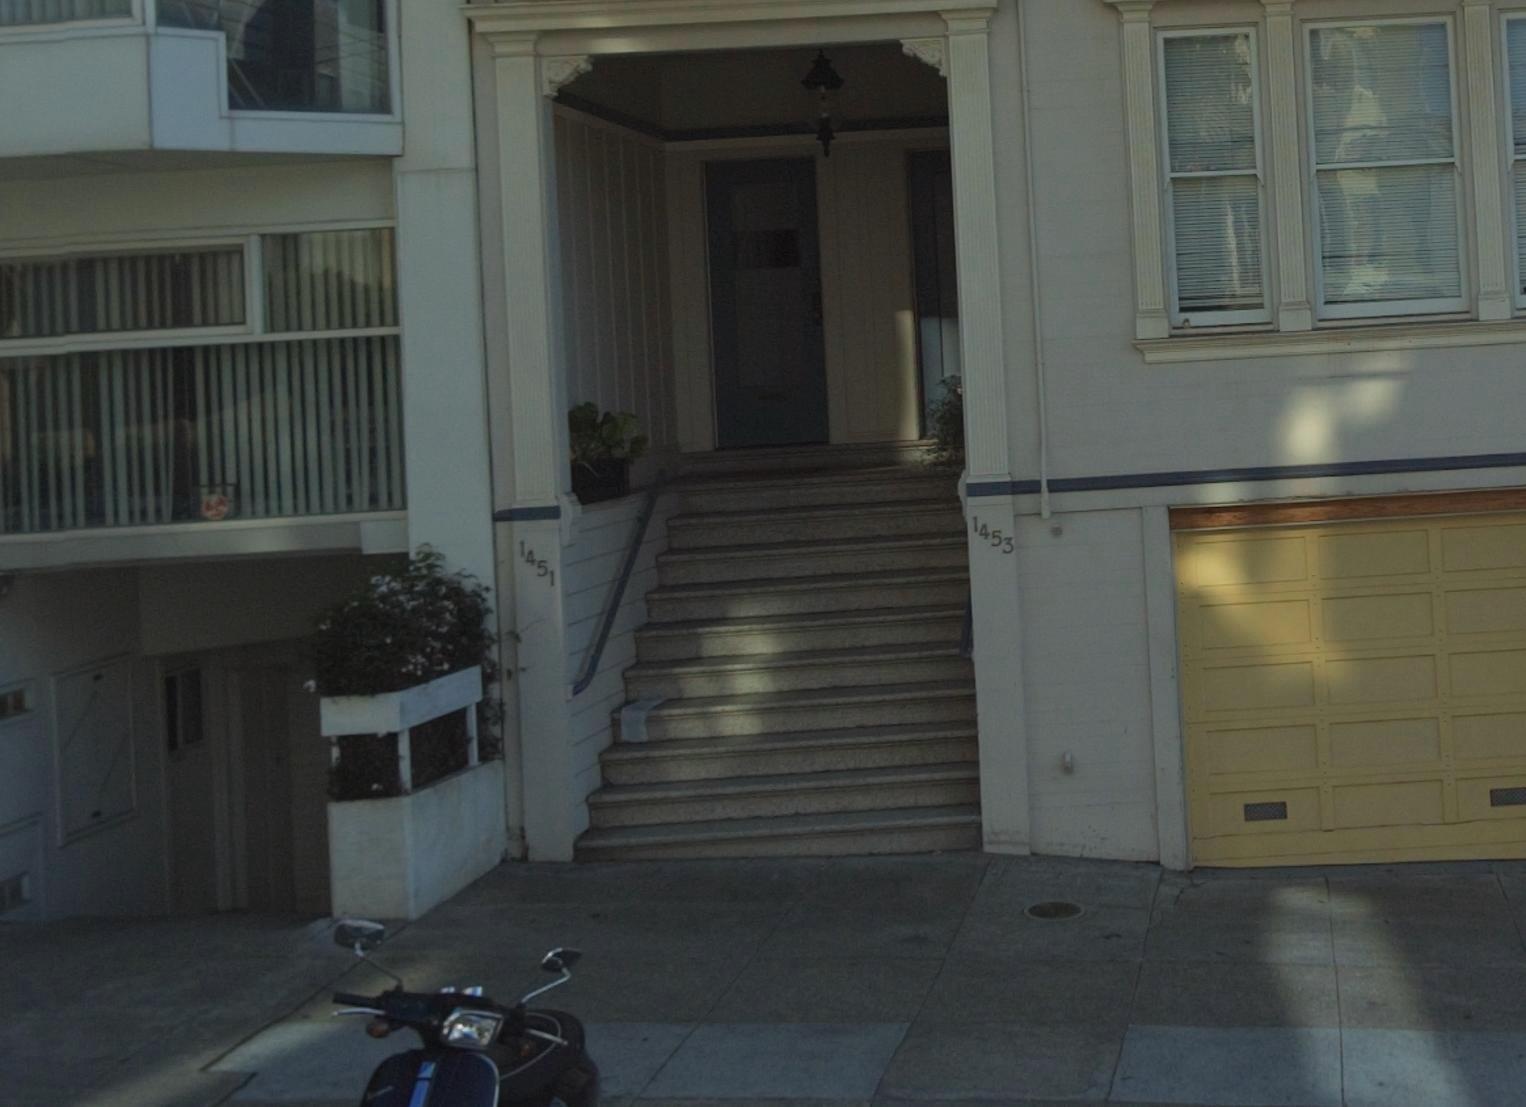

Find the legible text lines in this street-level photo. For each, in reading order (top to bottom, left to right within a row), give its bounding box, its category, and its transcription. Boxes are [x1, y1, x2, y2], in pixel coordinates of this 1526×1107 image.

[970, 514, 1016, 556] StreetNumber: 1453
[517, 538, 557, 588] StreetNumber: 1451